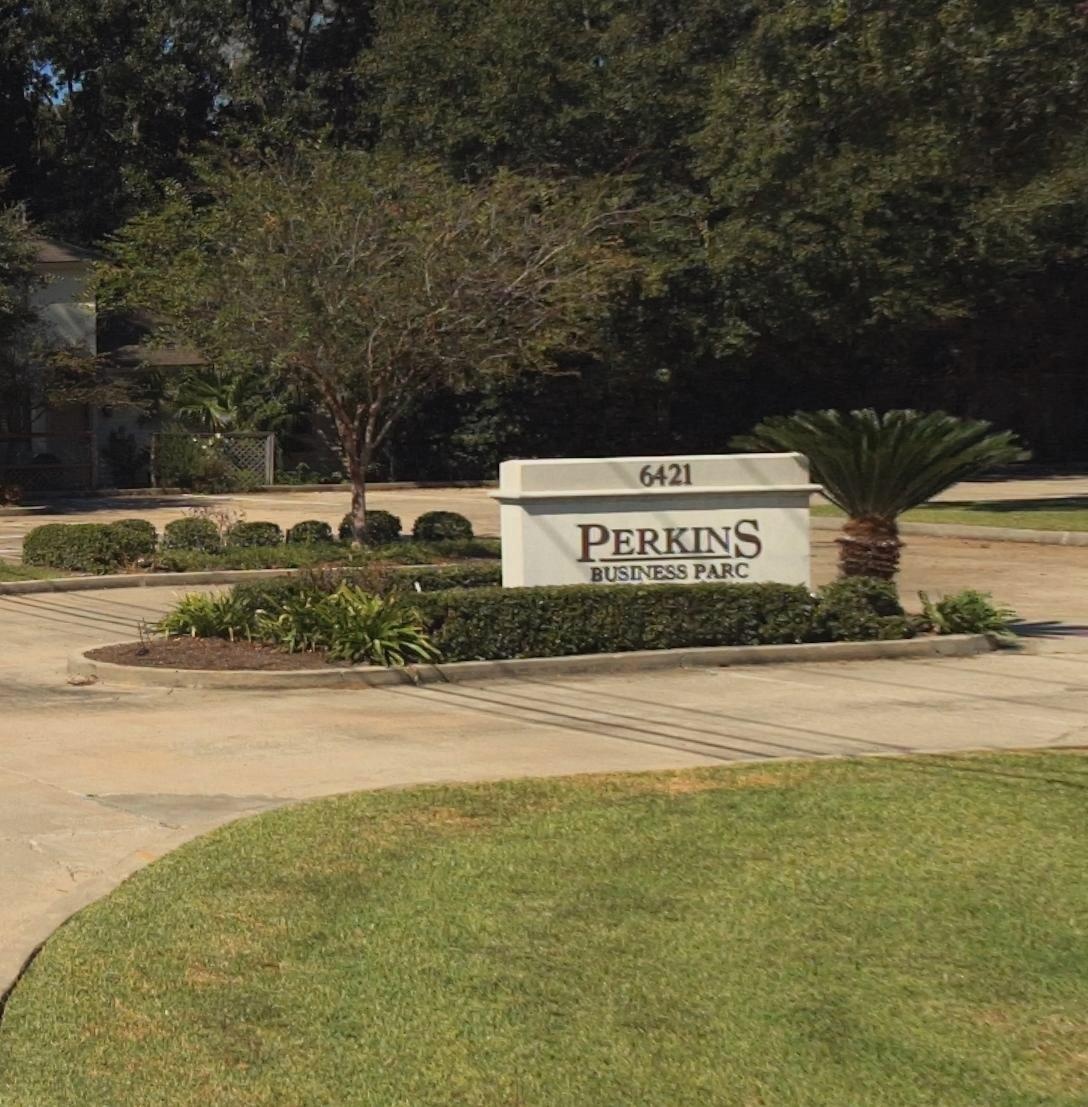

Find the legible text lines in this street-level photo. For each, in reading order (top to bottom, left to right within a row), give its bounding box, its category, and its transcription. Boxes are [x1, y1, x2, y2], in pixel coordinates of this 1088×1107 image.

[638, 461, 695, 489] StreetNumber: 6421
[574, 516, 764, 564] BusinessName: PERKINS
[588, 560, 751, 583] BusinessName: BUSINESS PARC